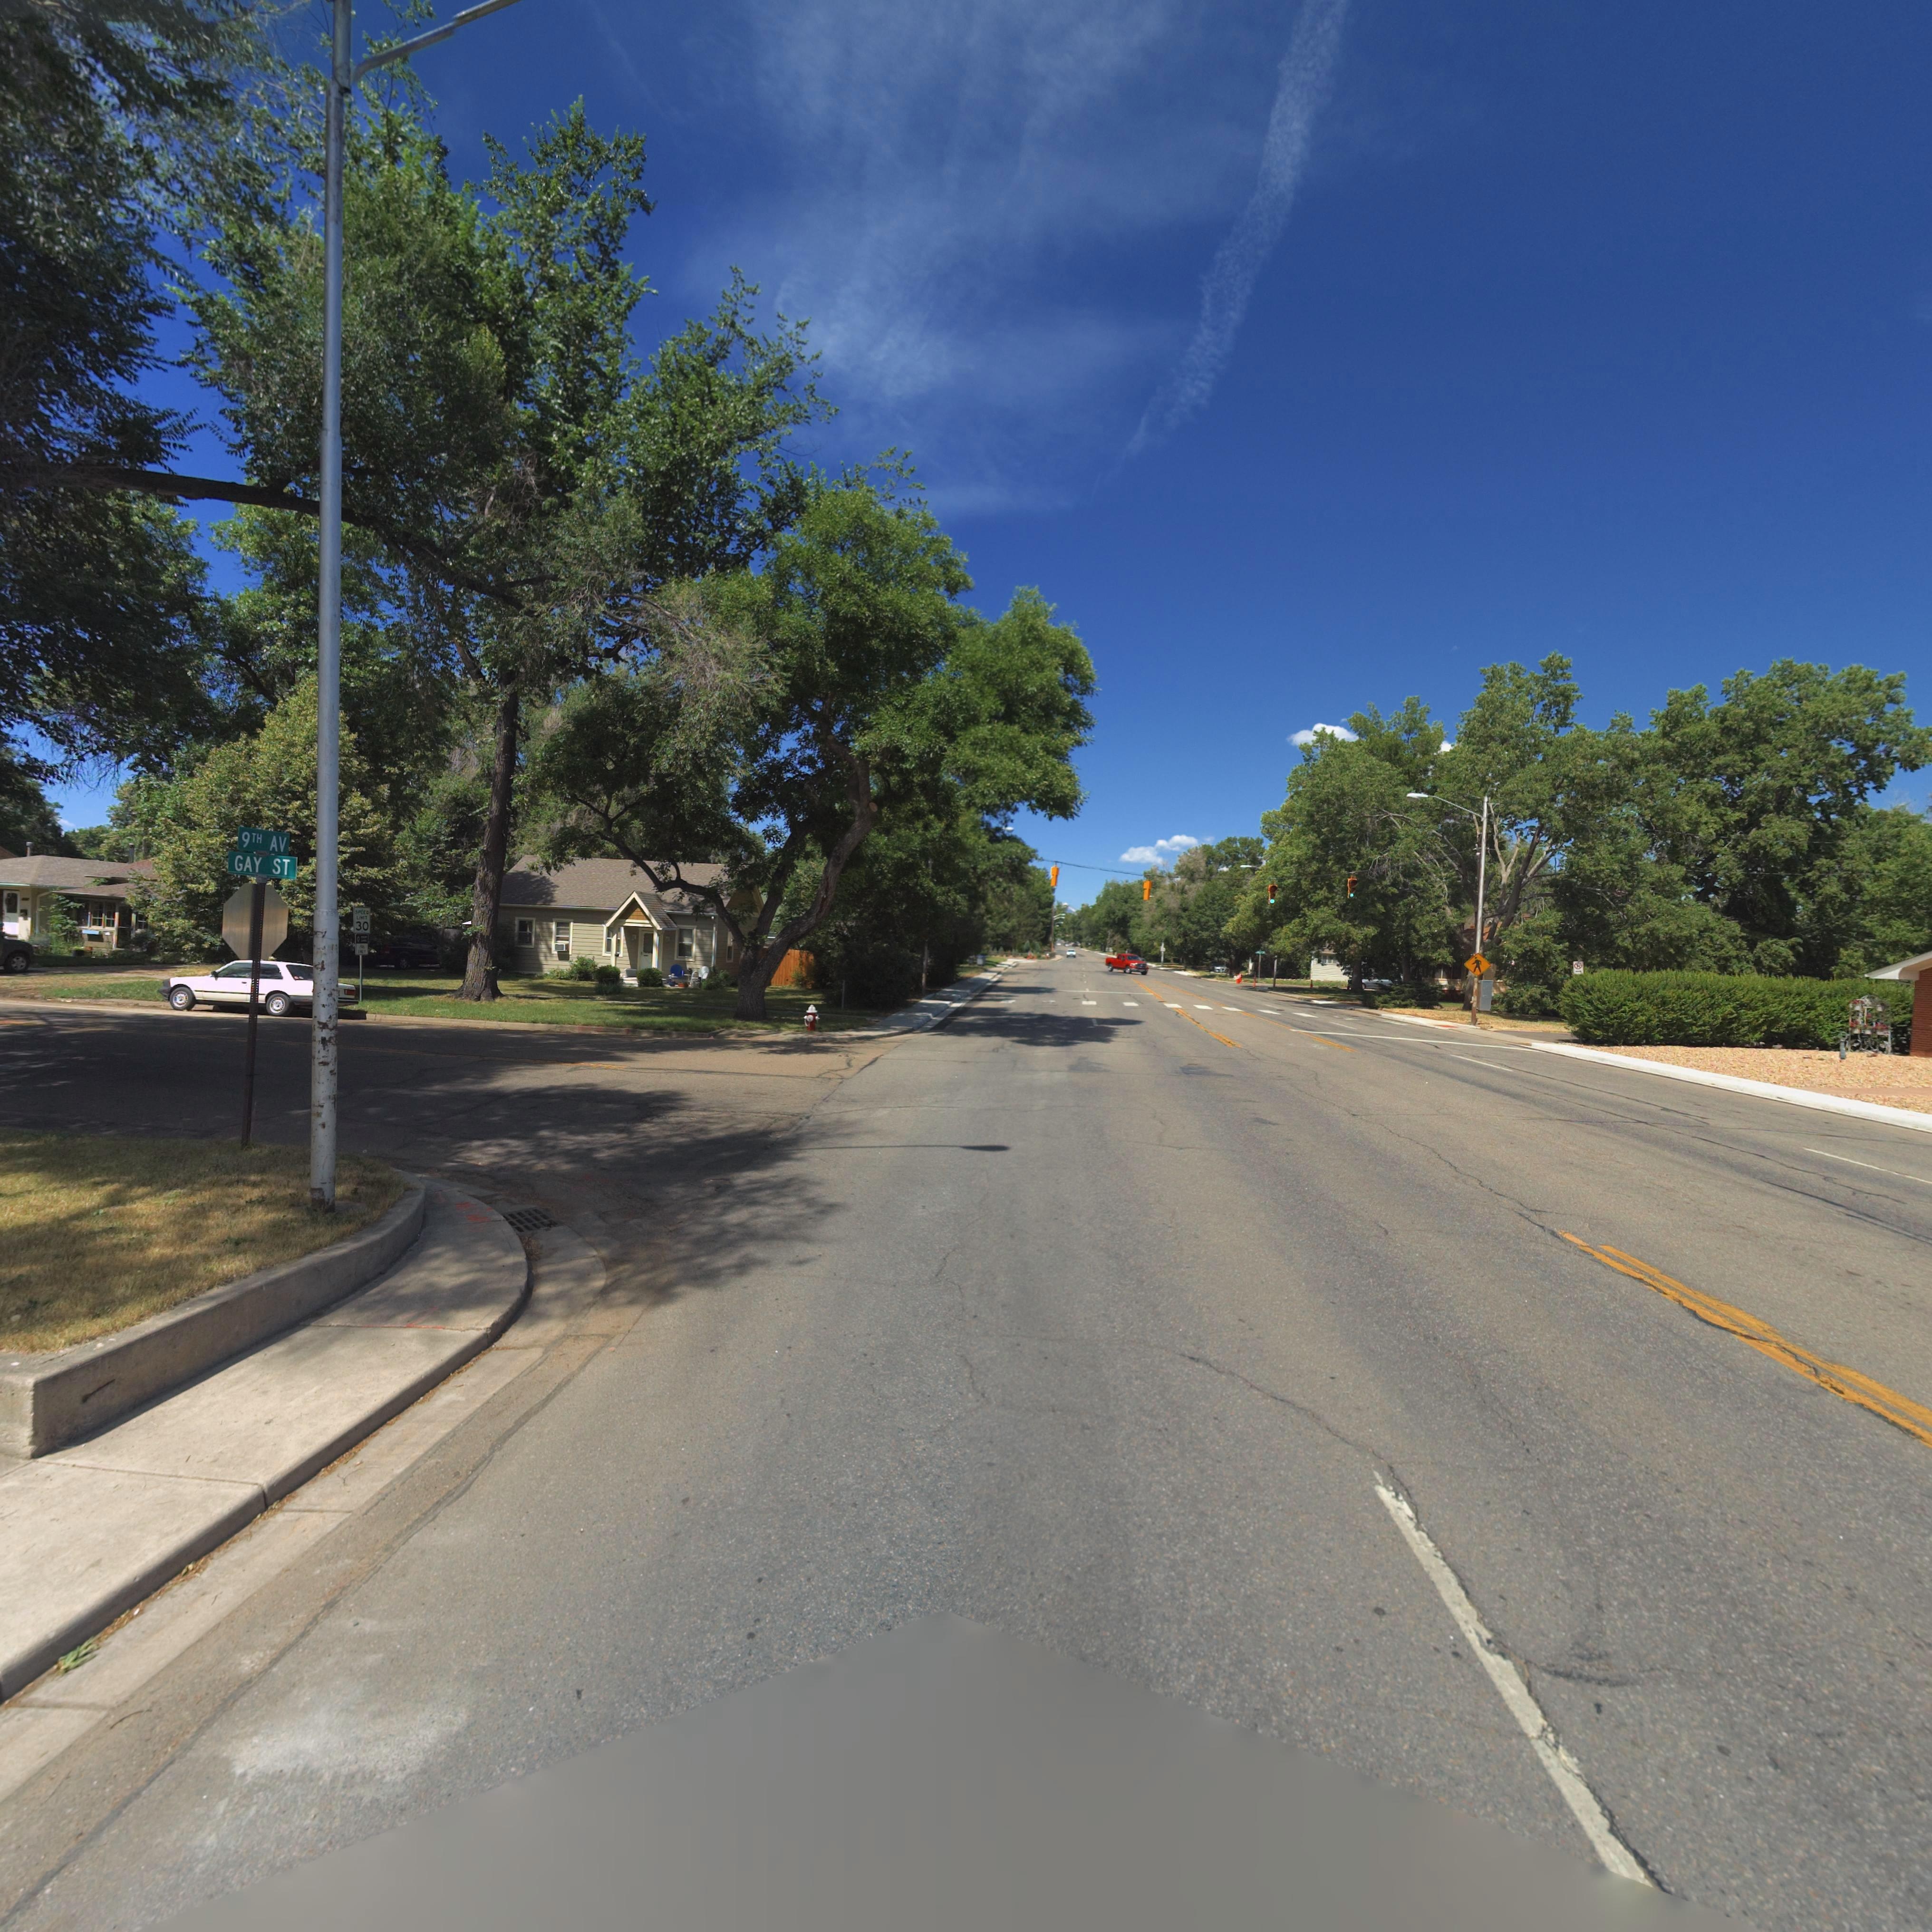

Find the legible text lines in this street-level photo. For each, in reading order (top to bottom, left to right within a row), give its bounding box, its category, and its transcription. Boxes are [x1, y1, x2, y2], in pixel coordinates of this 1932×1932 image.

[241, 830, 289, 853] StreetName: 9TH AV
[234, 854, 291, 876] StreetName: GAY ST